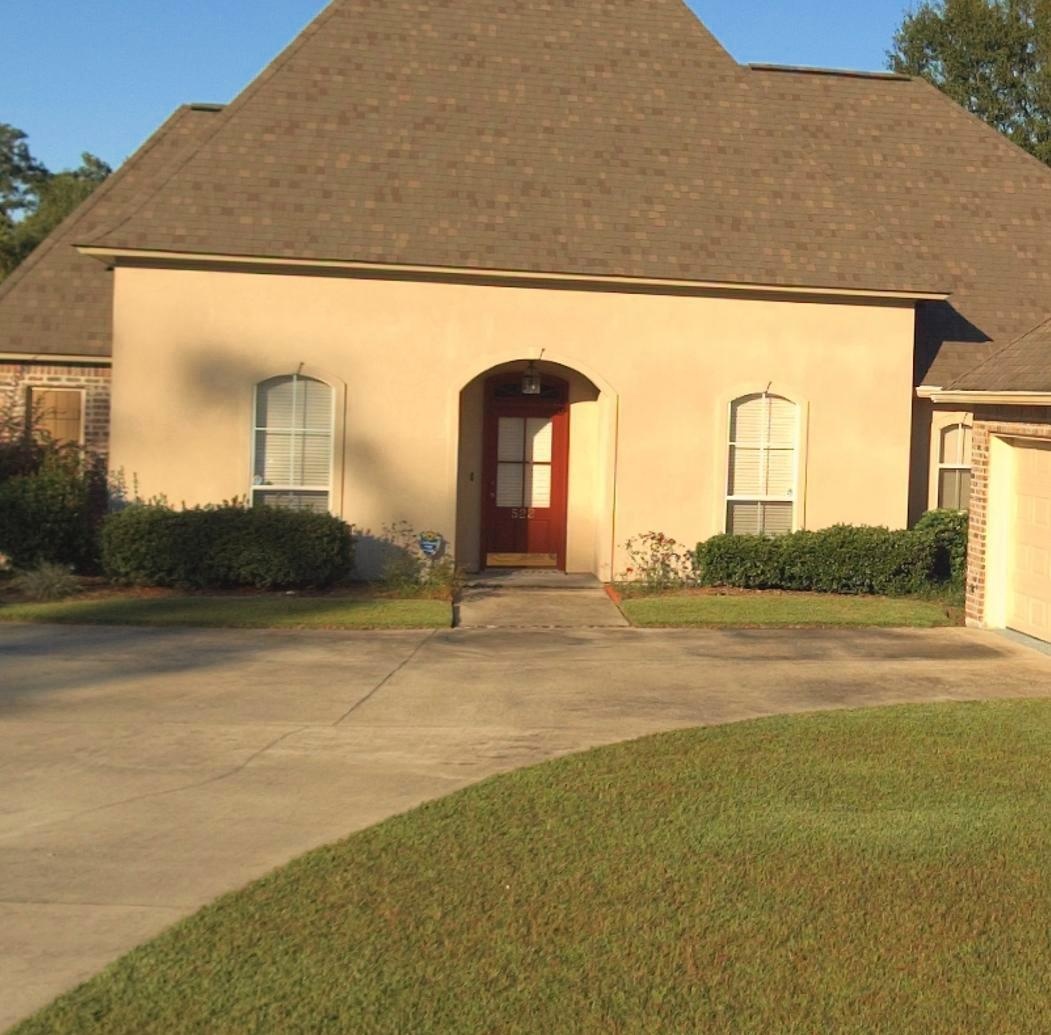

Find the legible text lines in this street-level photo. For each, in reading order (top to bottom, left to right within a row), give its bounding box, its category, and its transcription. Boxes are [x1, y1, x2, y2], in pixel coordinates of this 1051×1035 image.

[510, 508, 535, 519] StreetNumber: 522